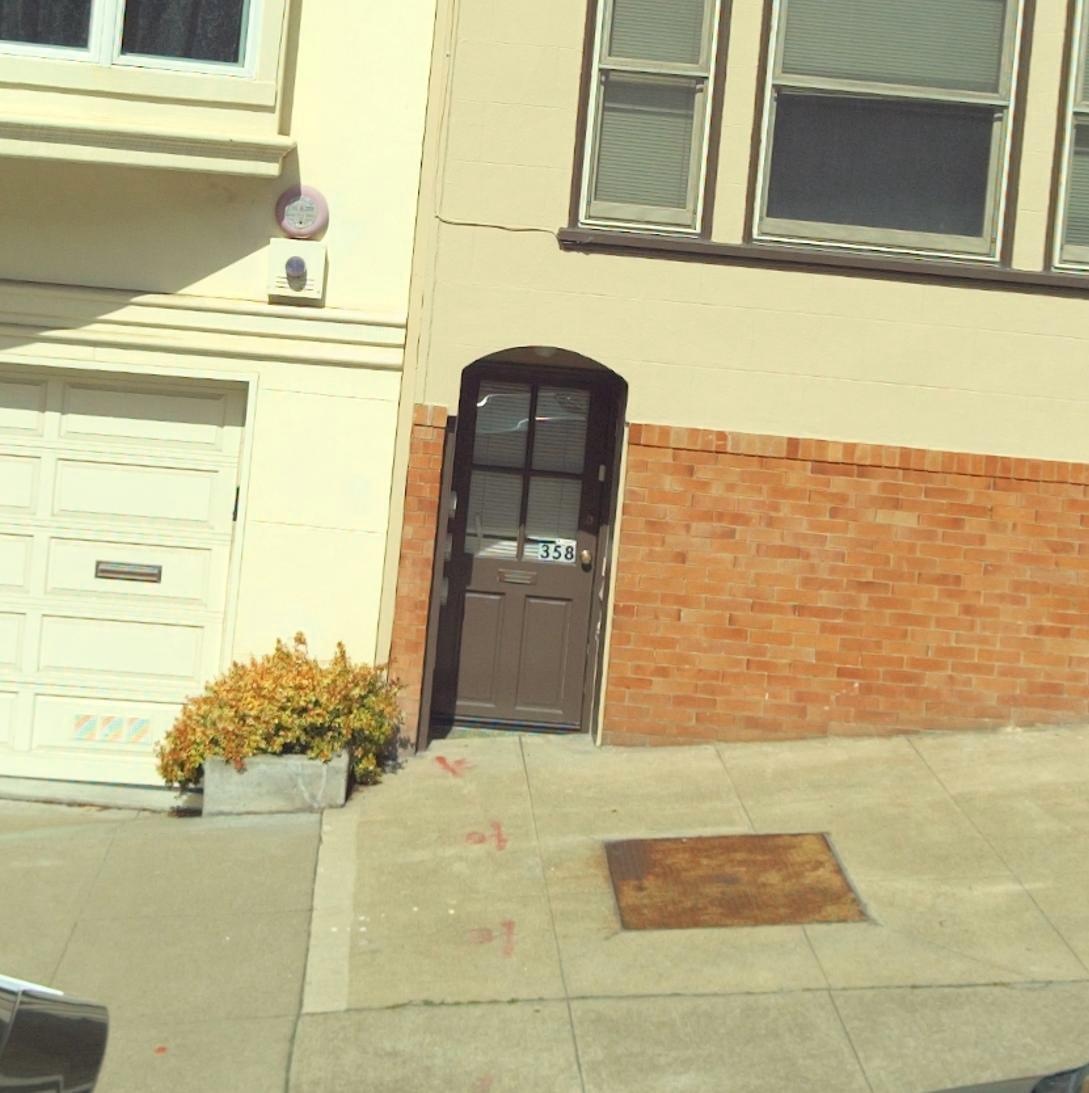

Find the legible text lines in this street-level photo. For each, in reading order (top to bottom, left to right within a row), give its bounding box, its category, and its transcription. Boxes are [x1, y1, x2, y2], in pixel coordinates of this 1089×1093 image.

[539, 544, 576, 560] StreetNumber: 358